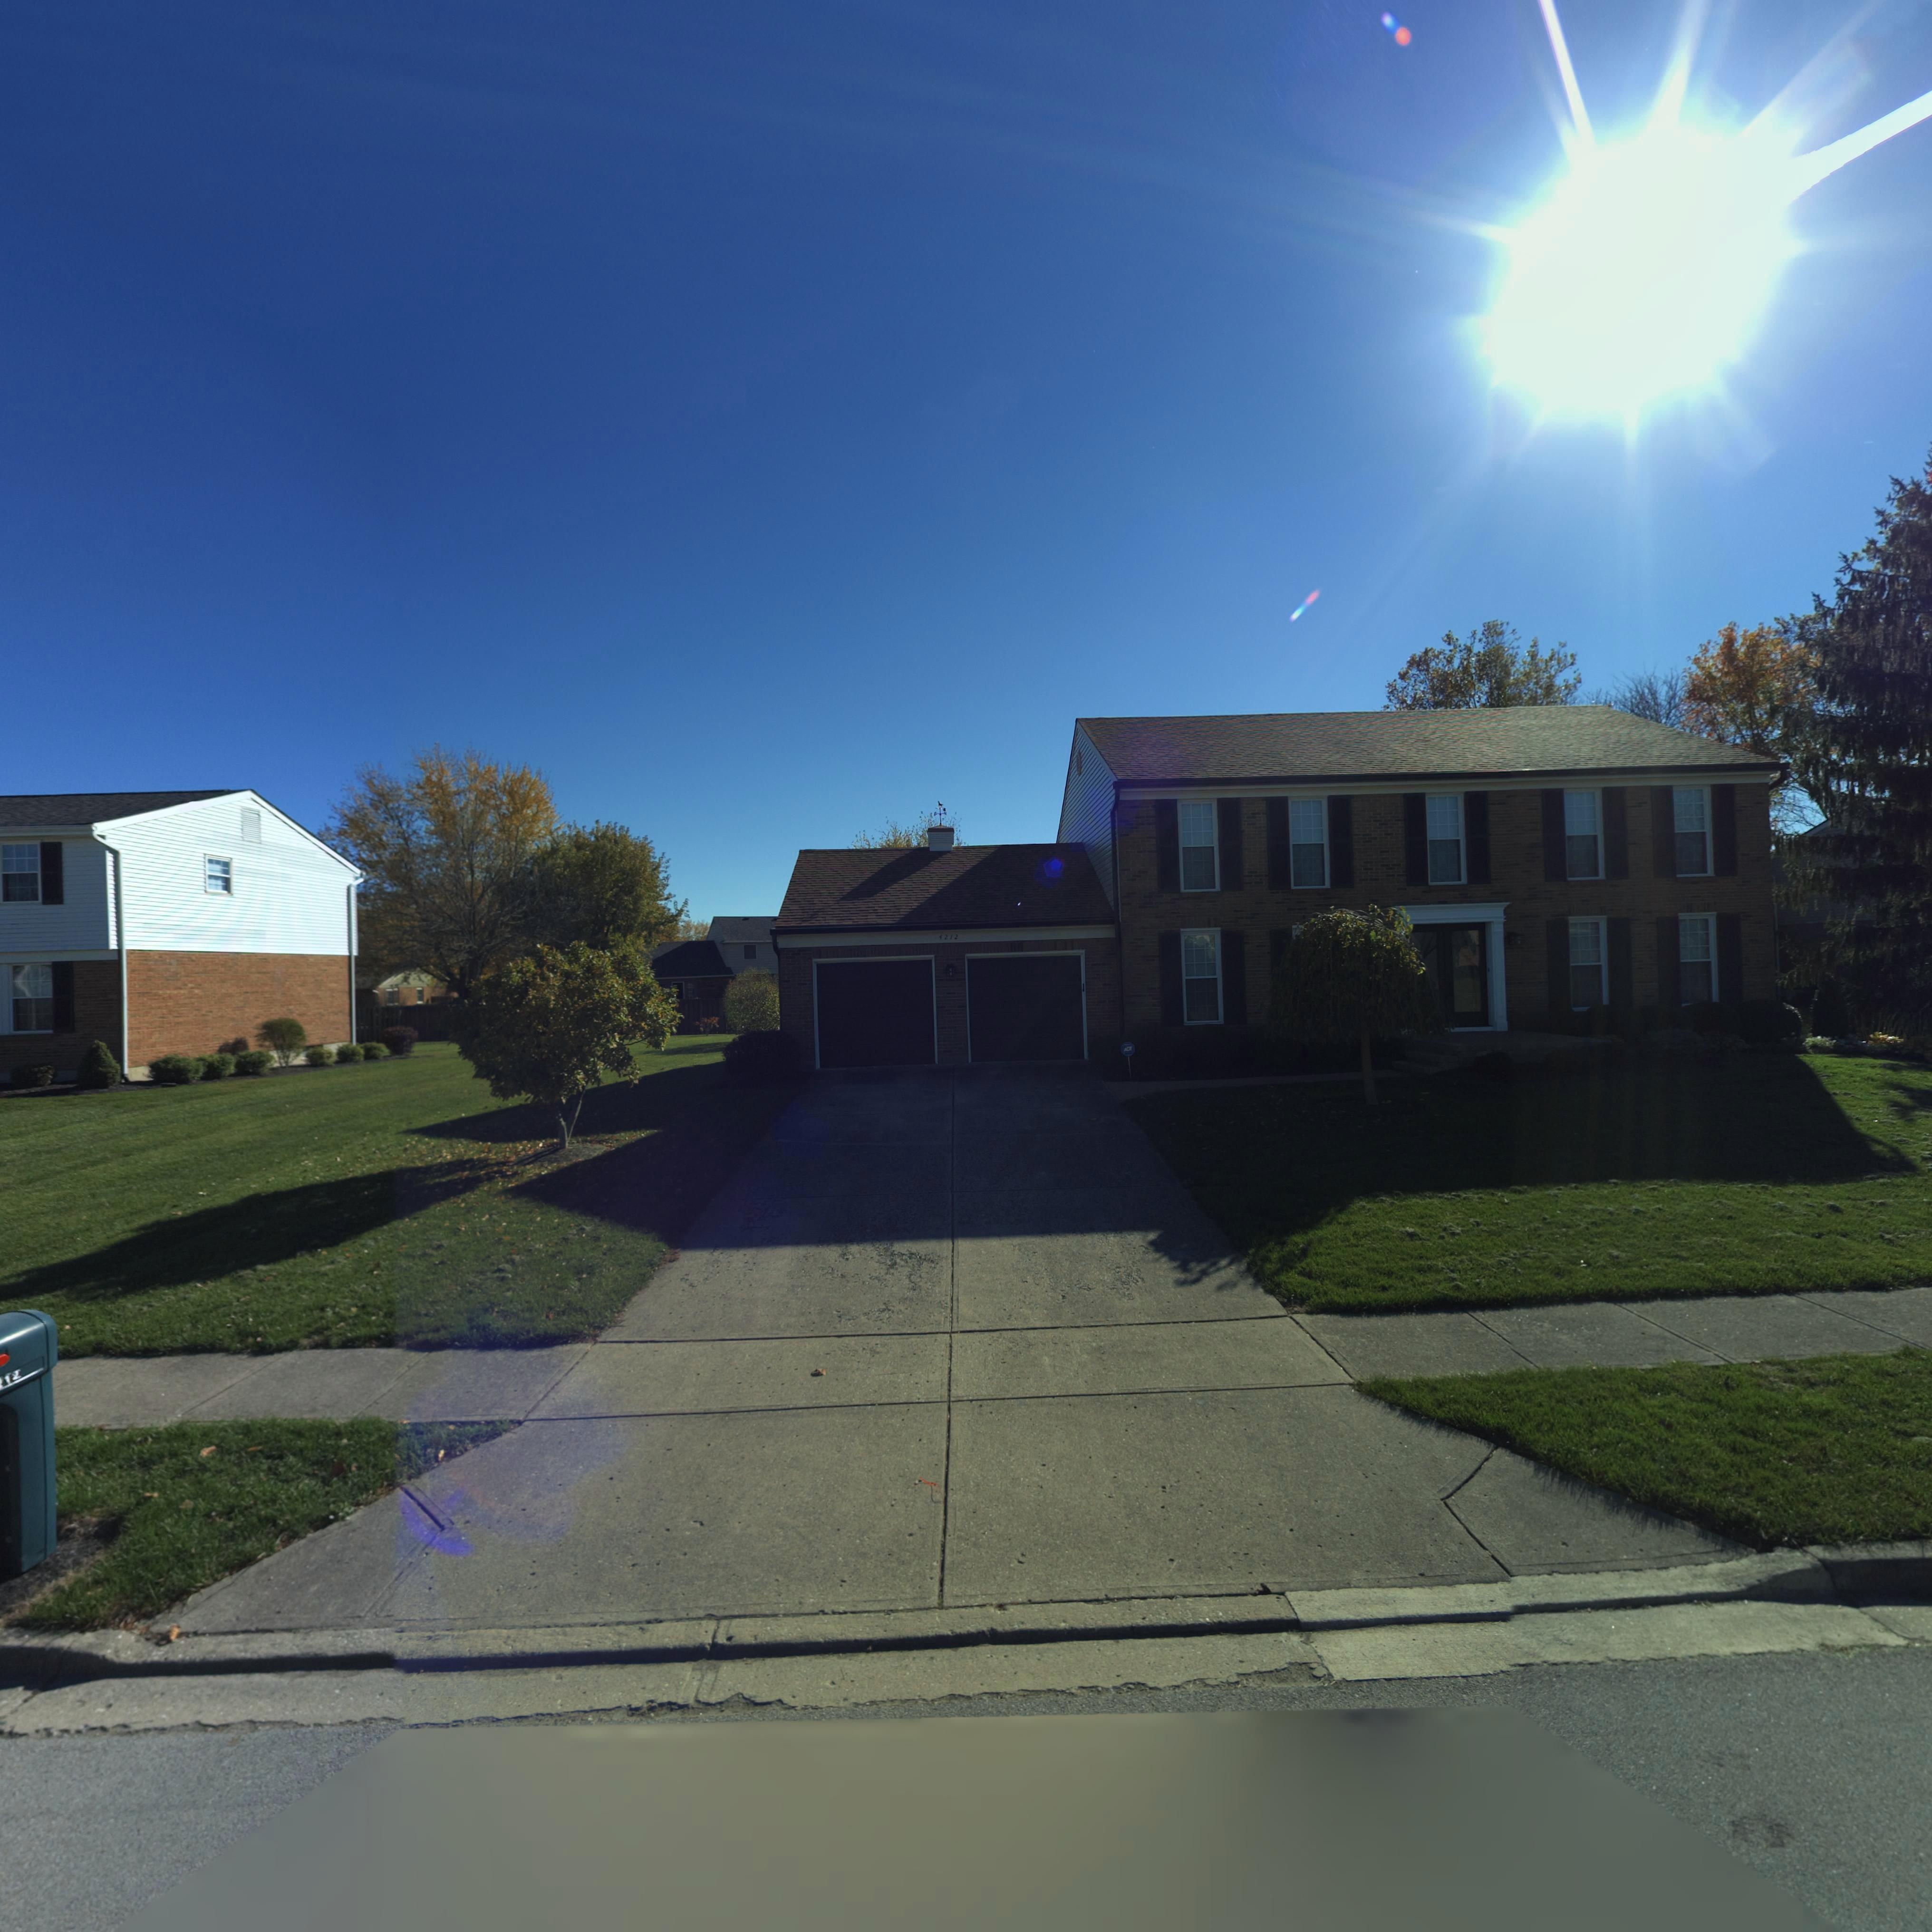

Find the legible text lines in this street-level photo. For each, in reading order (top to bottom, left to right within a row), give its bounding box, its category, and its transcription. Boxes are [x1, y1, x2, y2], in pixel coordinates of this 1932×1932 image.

[938, 933, 959, 940] StreetNumber: 4212